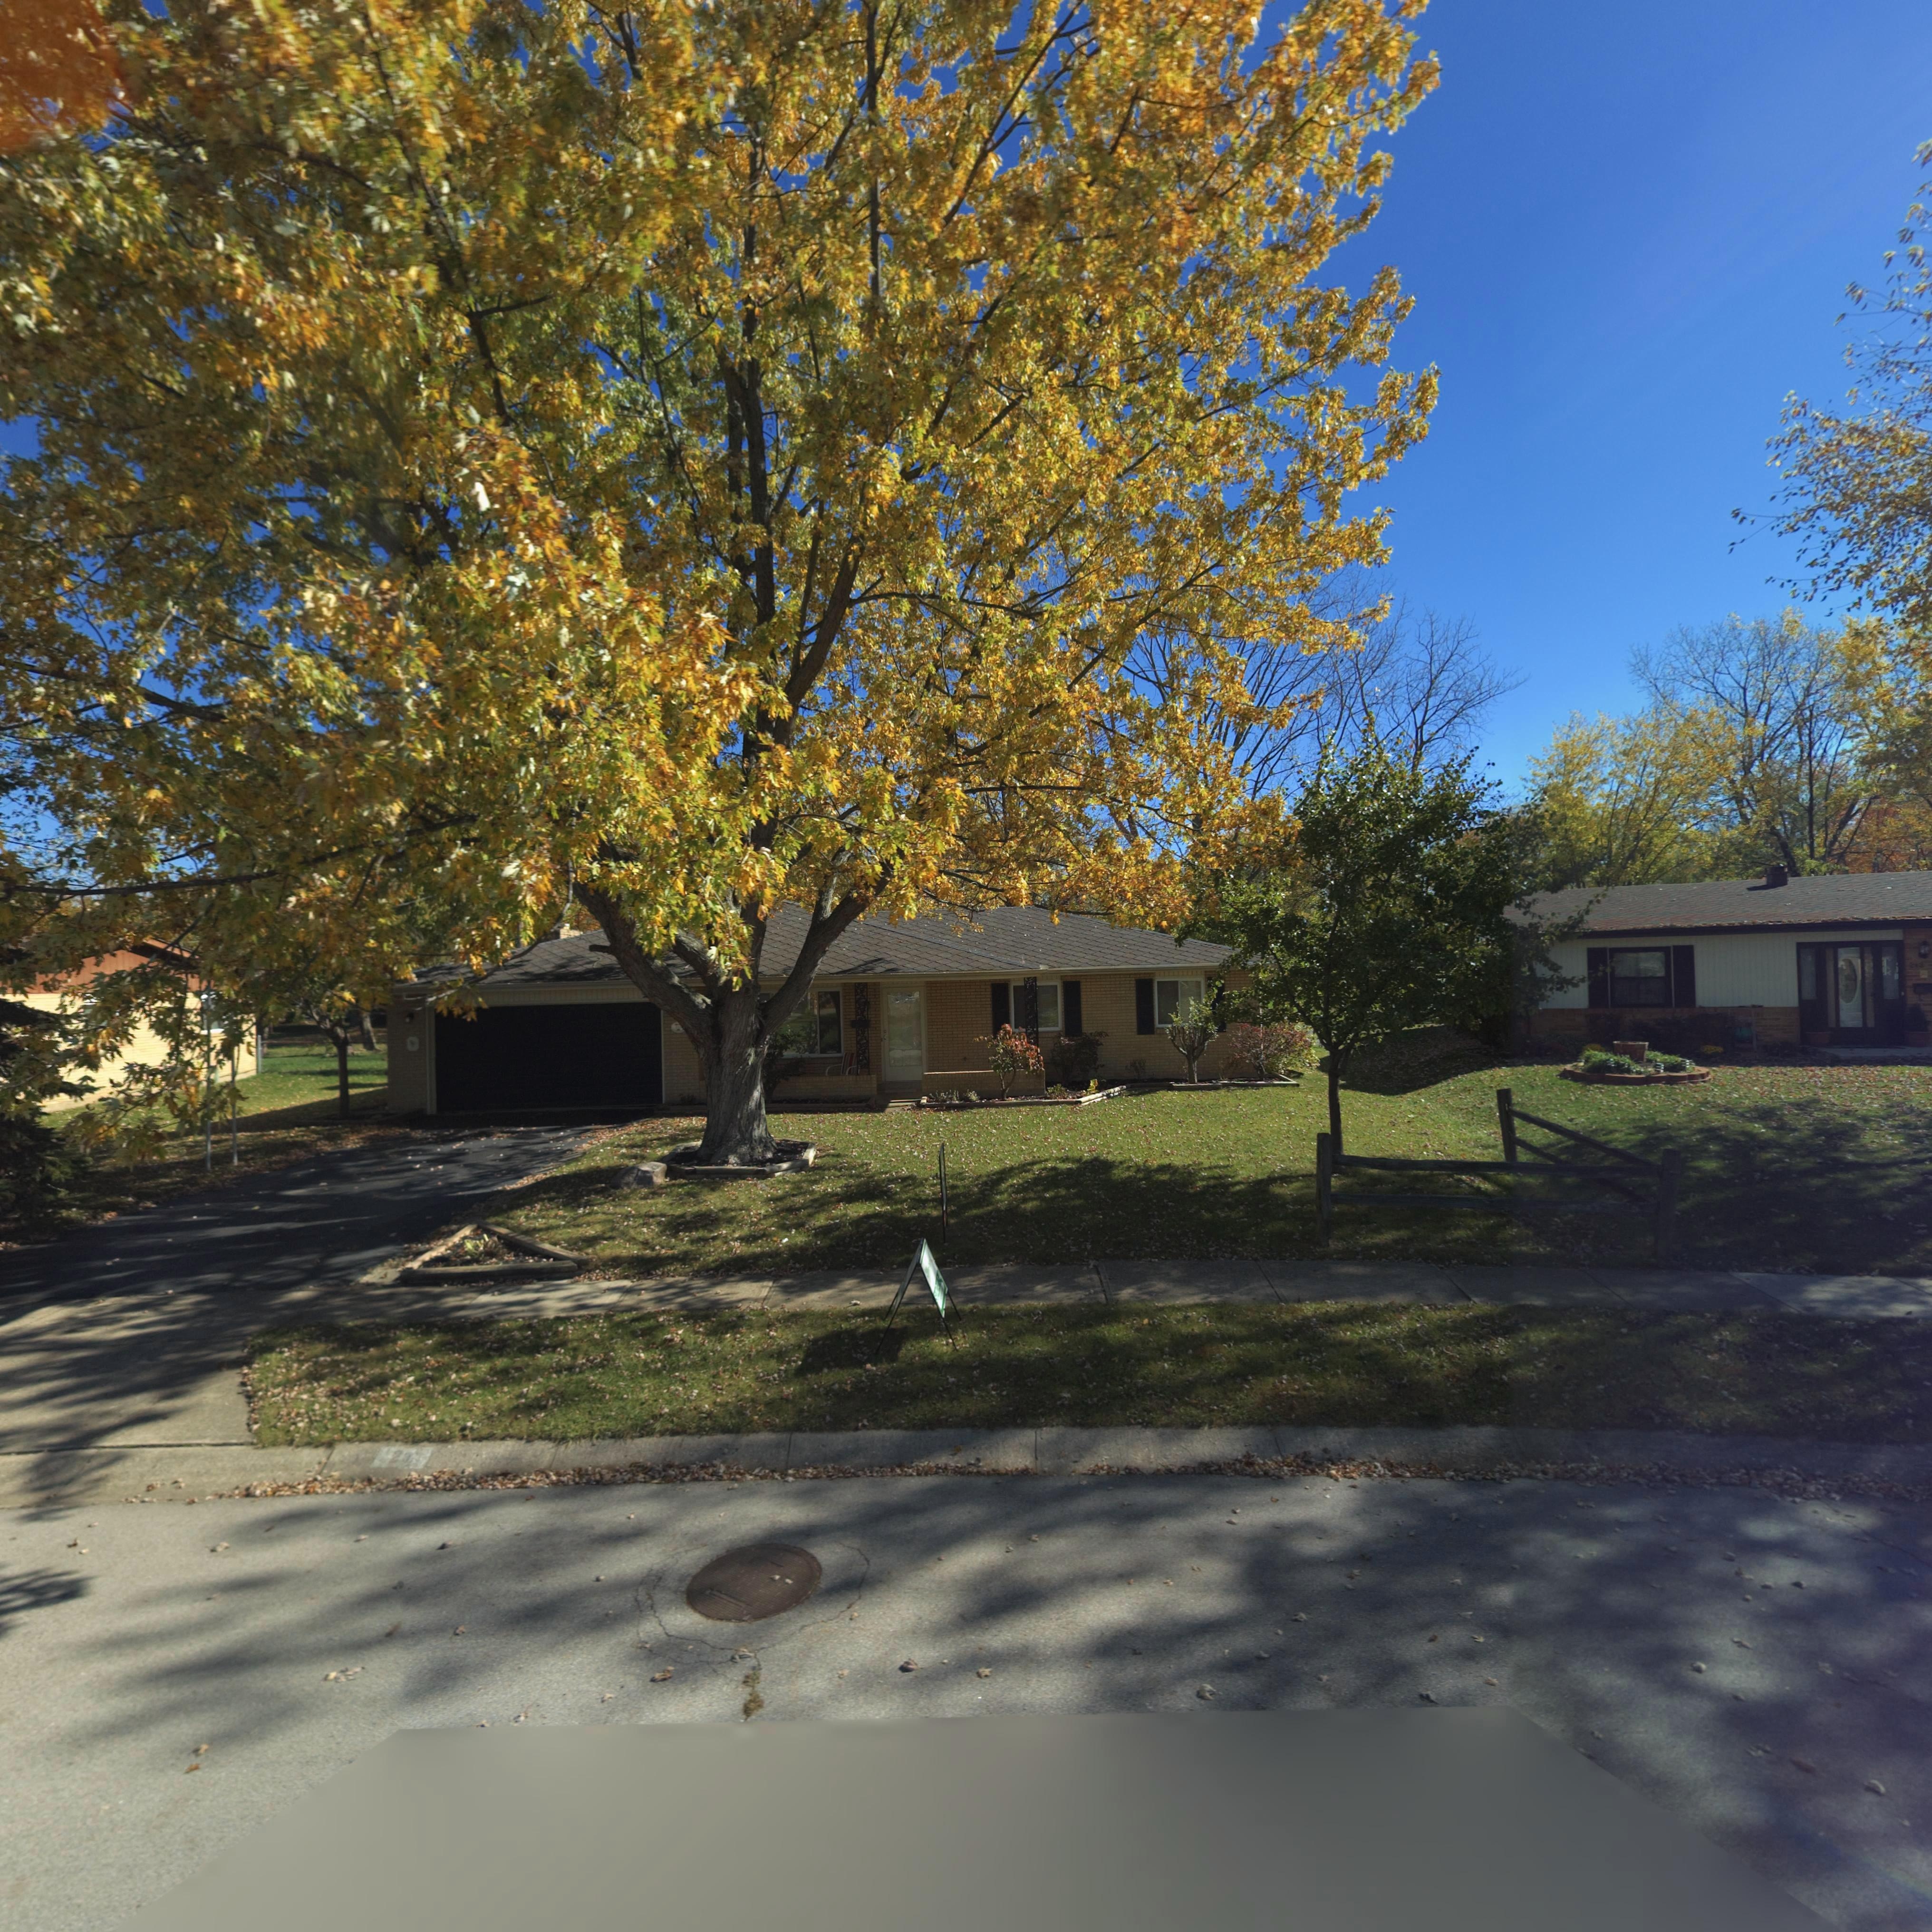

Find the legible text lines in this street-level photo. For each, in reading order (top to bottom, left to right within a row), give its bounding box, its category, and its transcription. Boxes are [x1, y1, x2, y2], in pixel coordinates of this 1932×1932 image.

[1908, 961, 1925, 969] StreetNumber: 212
[387, 1449, 415, 1465] StreetNumber: 20*